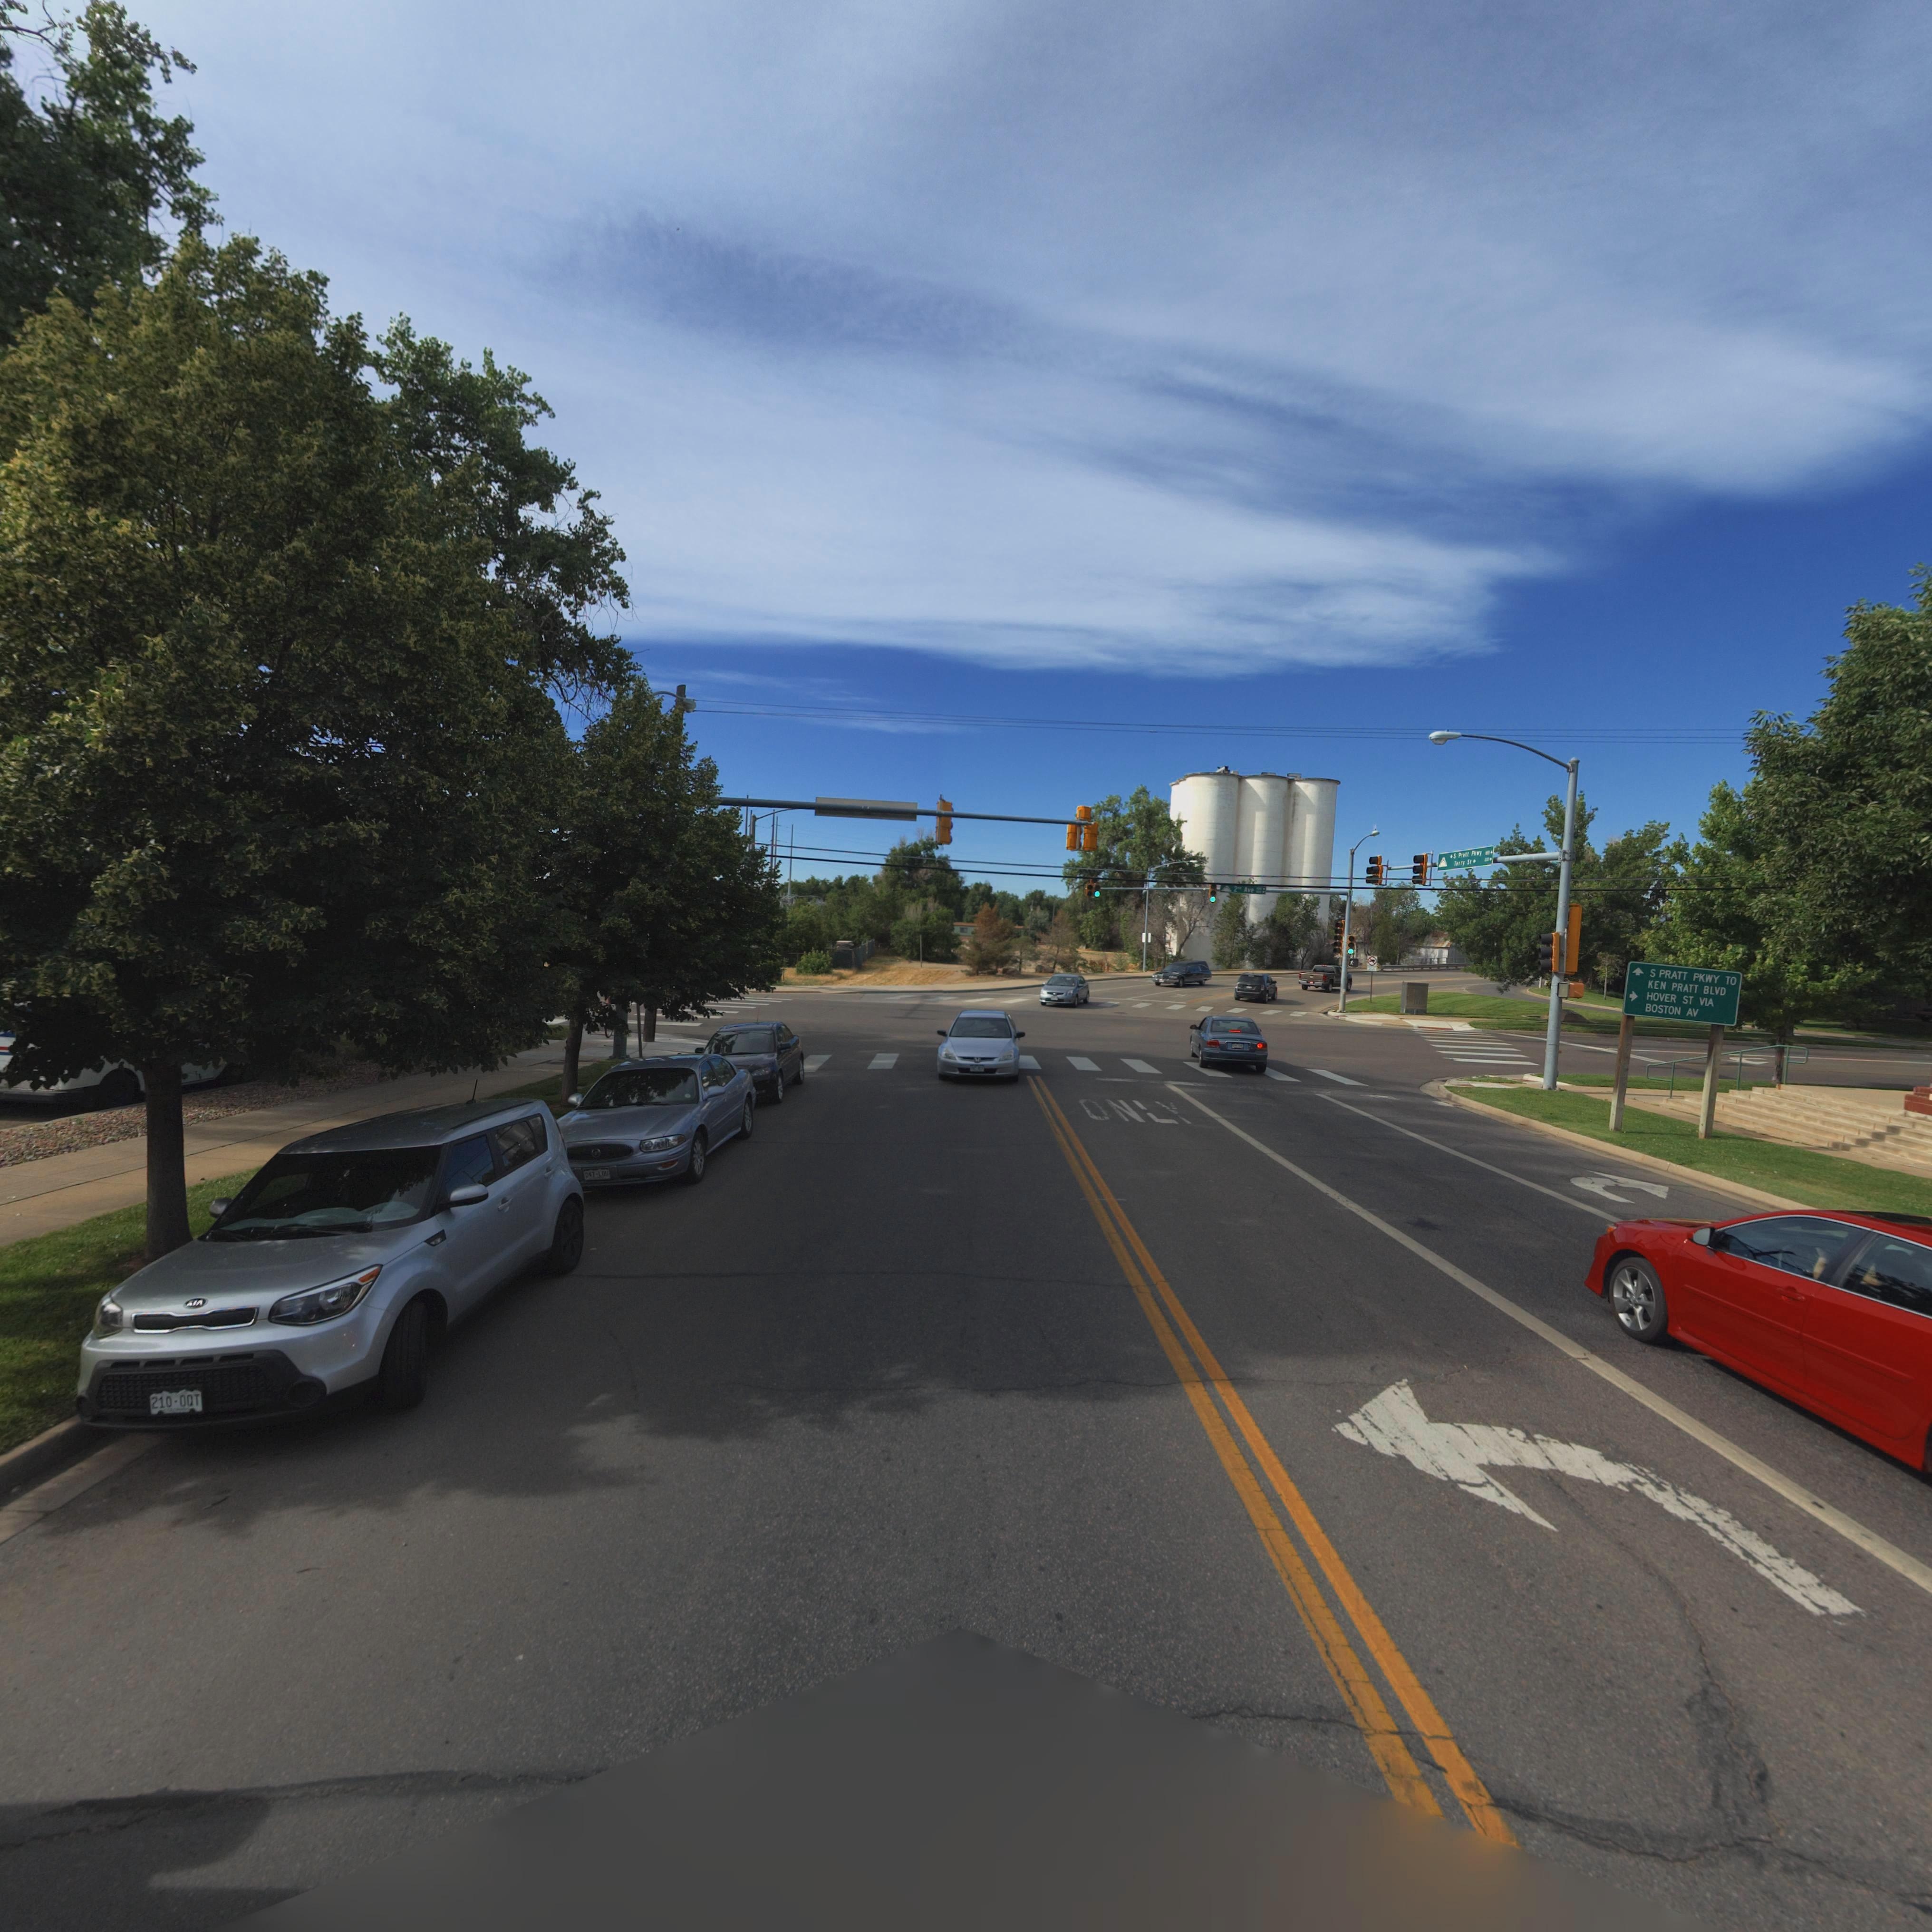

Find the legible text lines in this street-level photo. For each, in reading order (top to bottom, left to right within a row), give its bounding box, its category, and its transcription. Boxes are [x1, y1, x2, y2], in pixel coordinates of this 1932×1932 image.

[1452, 850, 1482, 859] StreetName: S Pratt Pkwy
[1453, 859, 1472, 867] StreetName: Terry St
[1233, 885, 1255, 893] StreetName: 2nd Ave